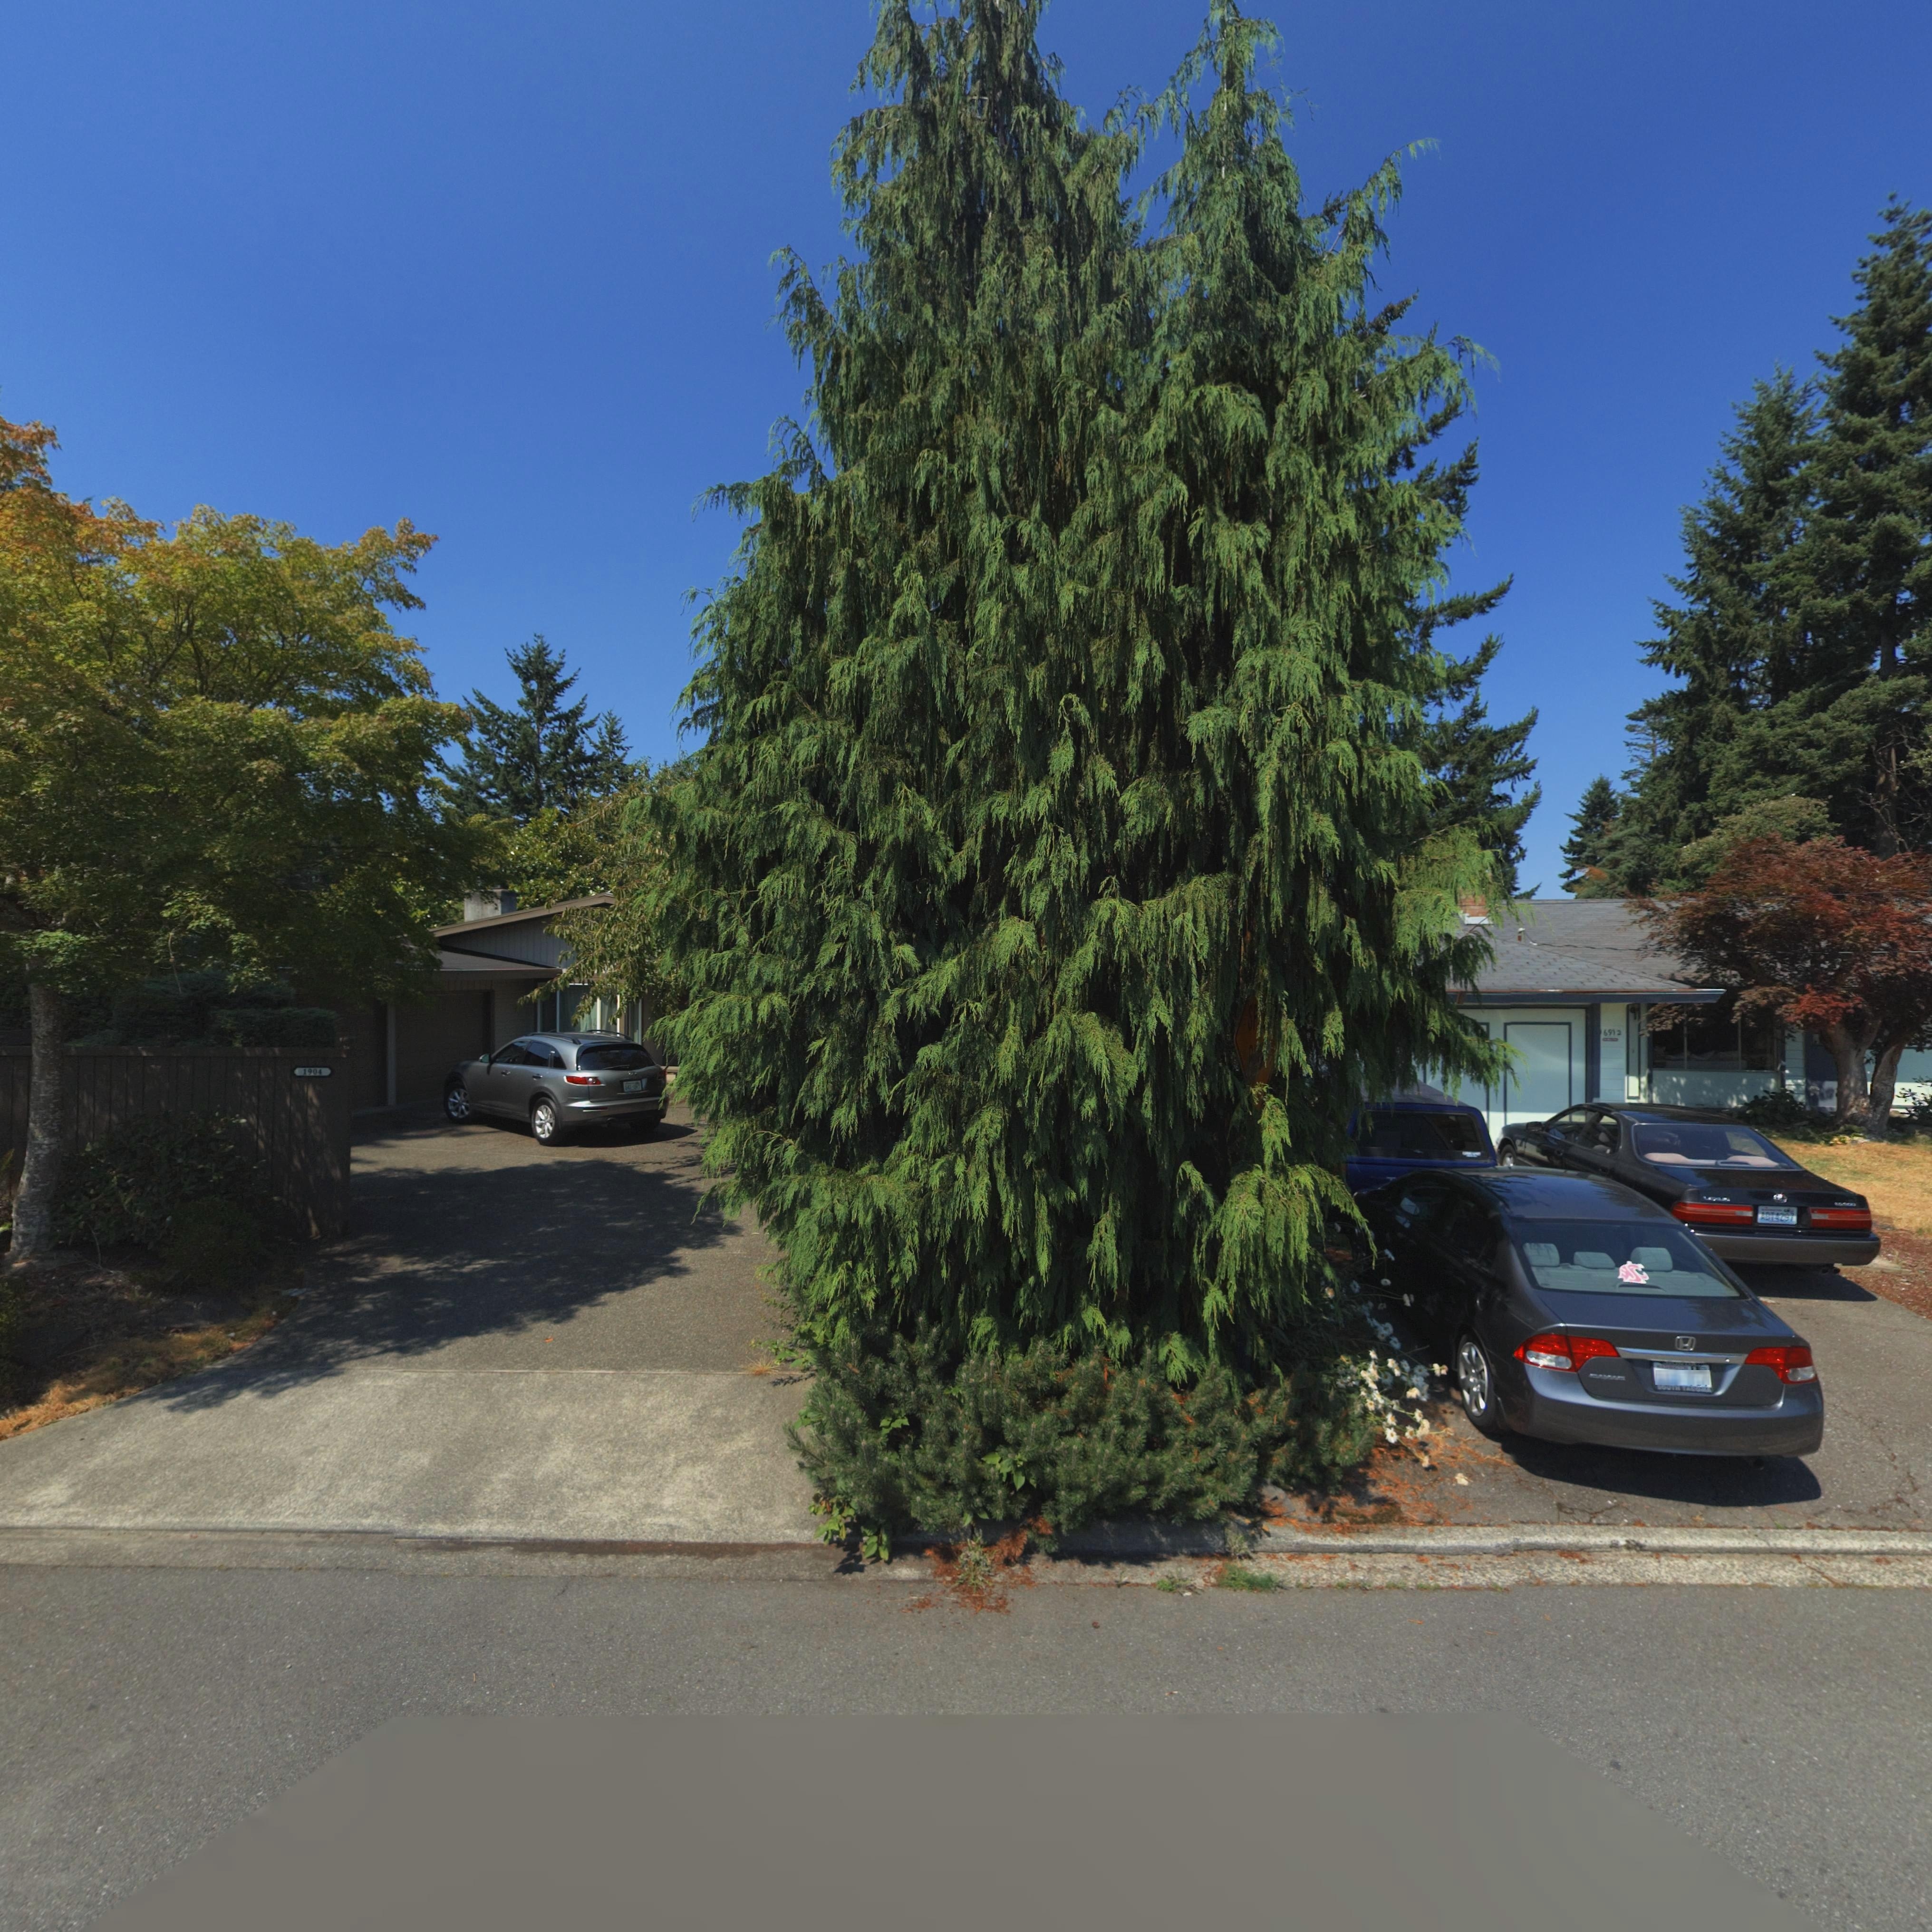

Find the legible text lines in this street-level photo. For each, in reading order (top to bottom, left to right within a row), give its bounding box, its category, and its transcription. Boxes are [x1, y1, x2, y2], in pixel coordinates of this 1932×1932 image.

[1602, 1029, 1622, 1036] StreetNumber: 691*
[303, 1068, 323, 1075] StreetNumber: 190*